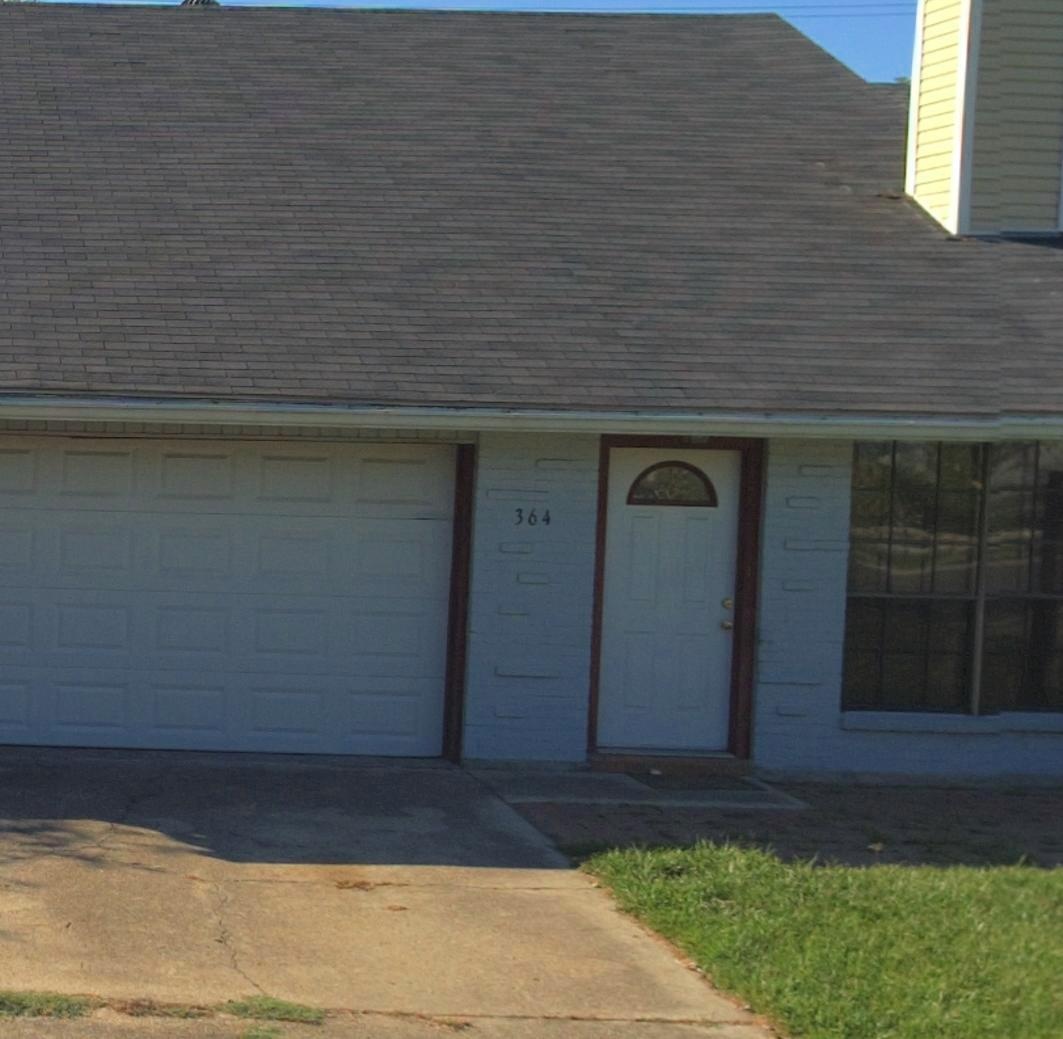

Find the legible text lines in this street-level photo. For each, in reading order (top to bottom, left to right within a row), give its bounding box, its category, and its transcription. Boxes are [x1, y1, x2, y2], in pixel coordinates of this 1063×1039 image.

[513, 507, 552, 527] StreetNumber: 364